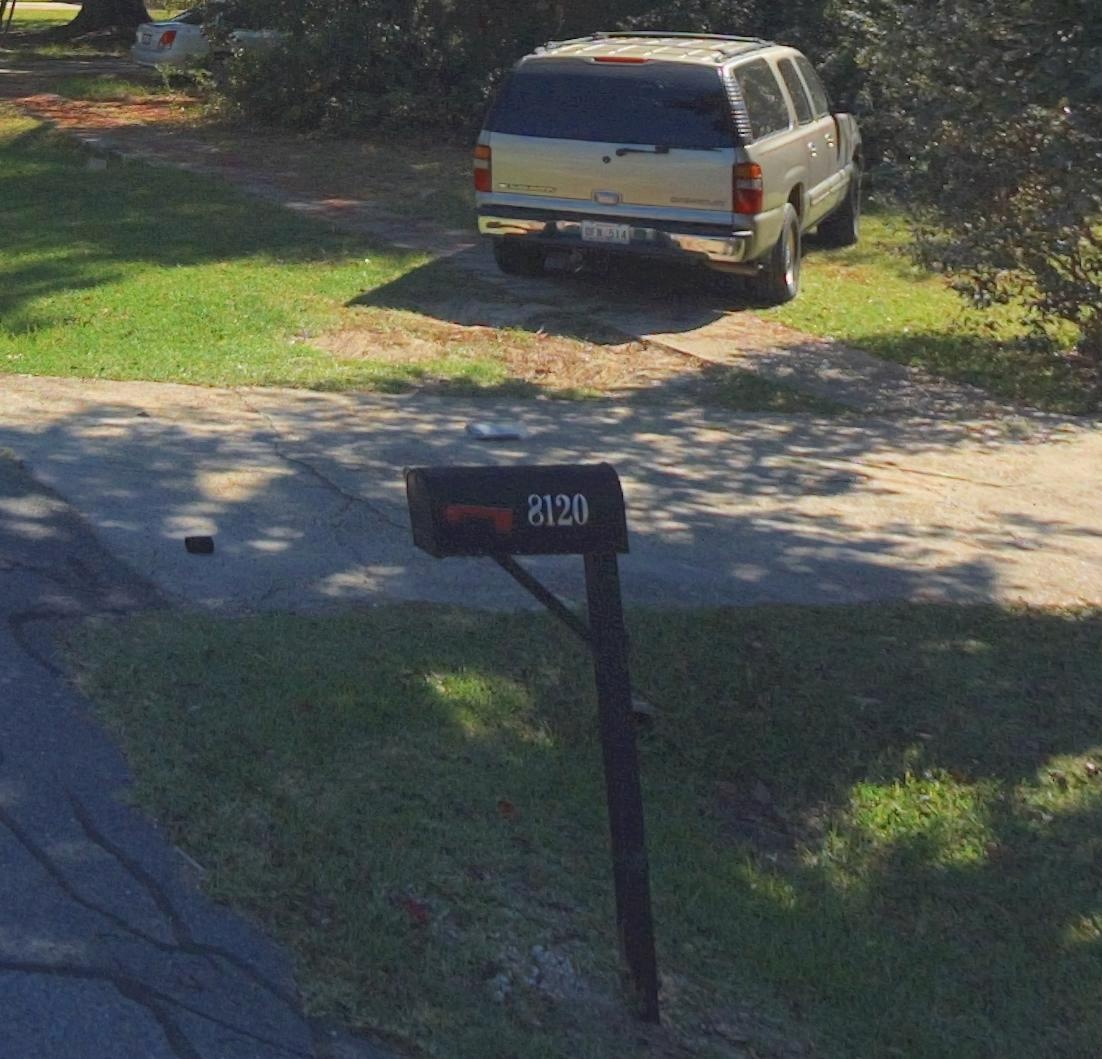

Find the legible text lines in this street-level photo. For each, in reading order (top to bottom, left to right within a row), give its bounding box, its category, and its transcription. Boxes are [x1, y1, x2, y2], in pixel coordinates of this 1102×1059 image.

[524, 490, 592, 529] StreetNumber: 8120